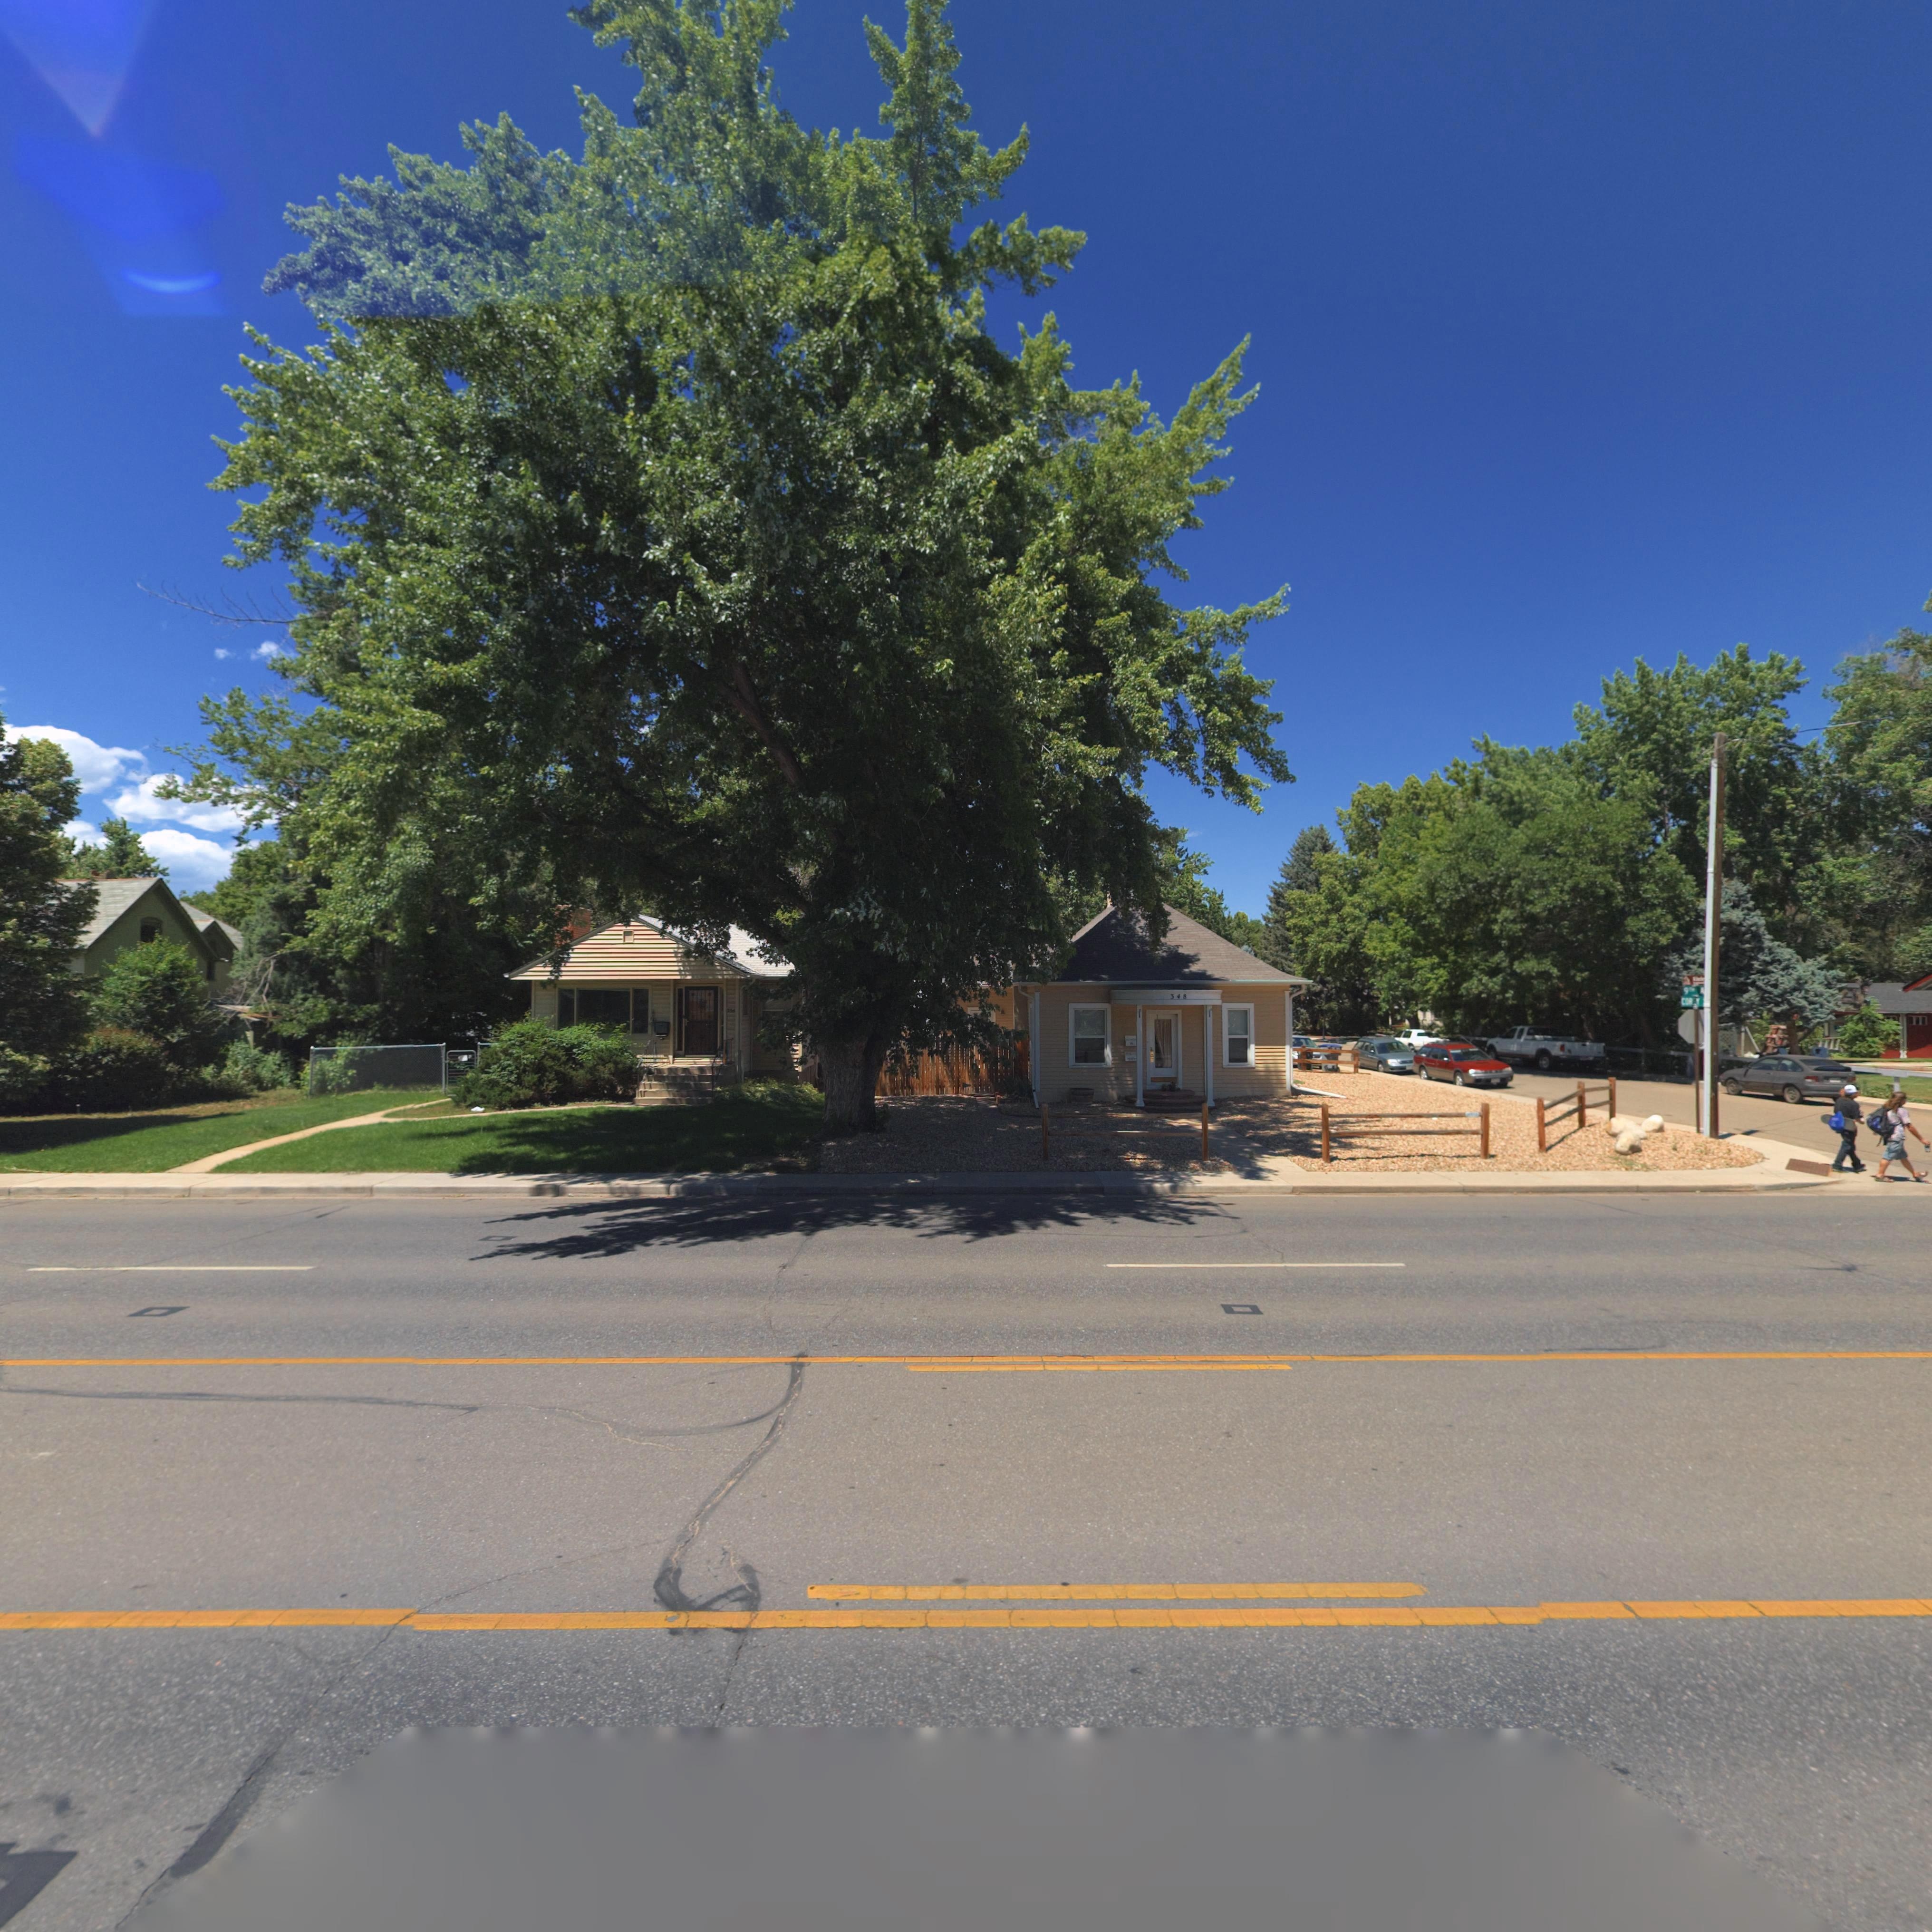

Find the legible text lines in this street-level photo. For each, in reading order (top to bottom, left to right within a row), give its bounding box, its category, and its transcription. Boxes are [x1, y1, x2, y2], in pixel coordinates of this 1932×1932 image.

[1682, 986, 1705, 995] StreetName: 9TH A
[1169, 993, 1187, 1000] StreetNumber: 348
[1680, 996, 1700, 1006] StreetName: COR**
[726, 1007, 735, 1013] StreetNumber: 354